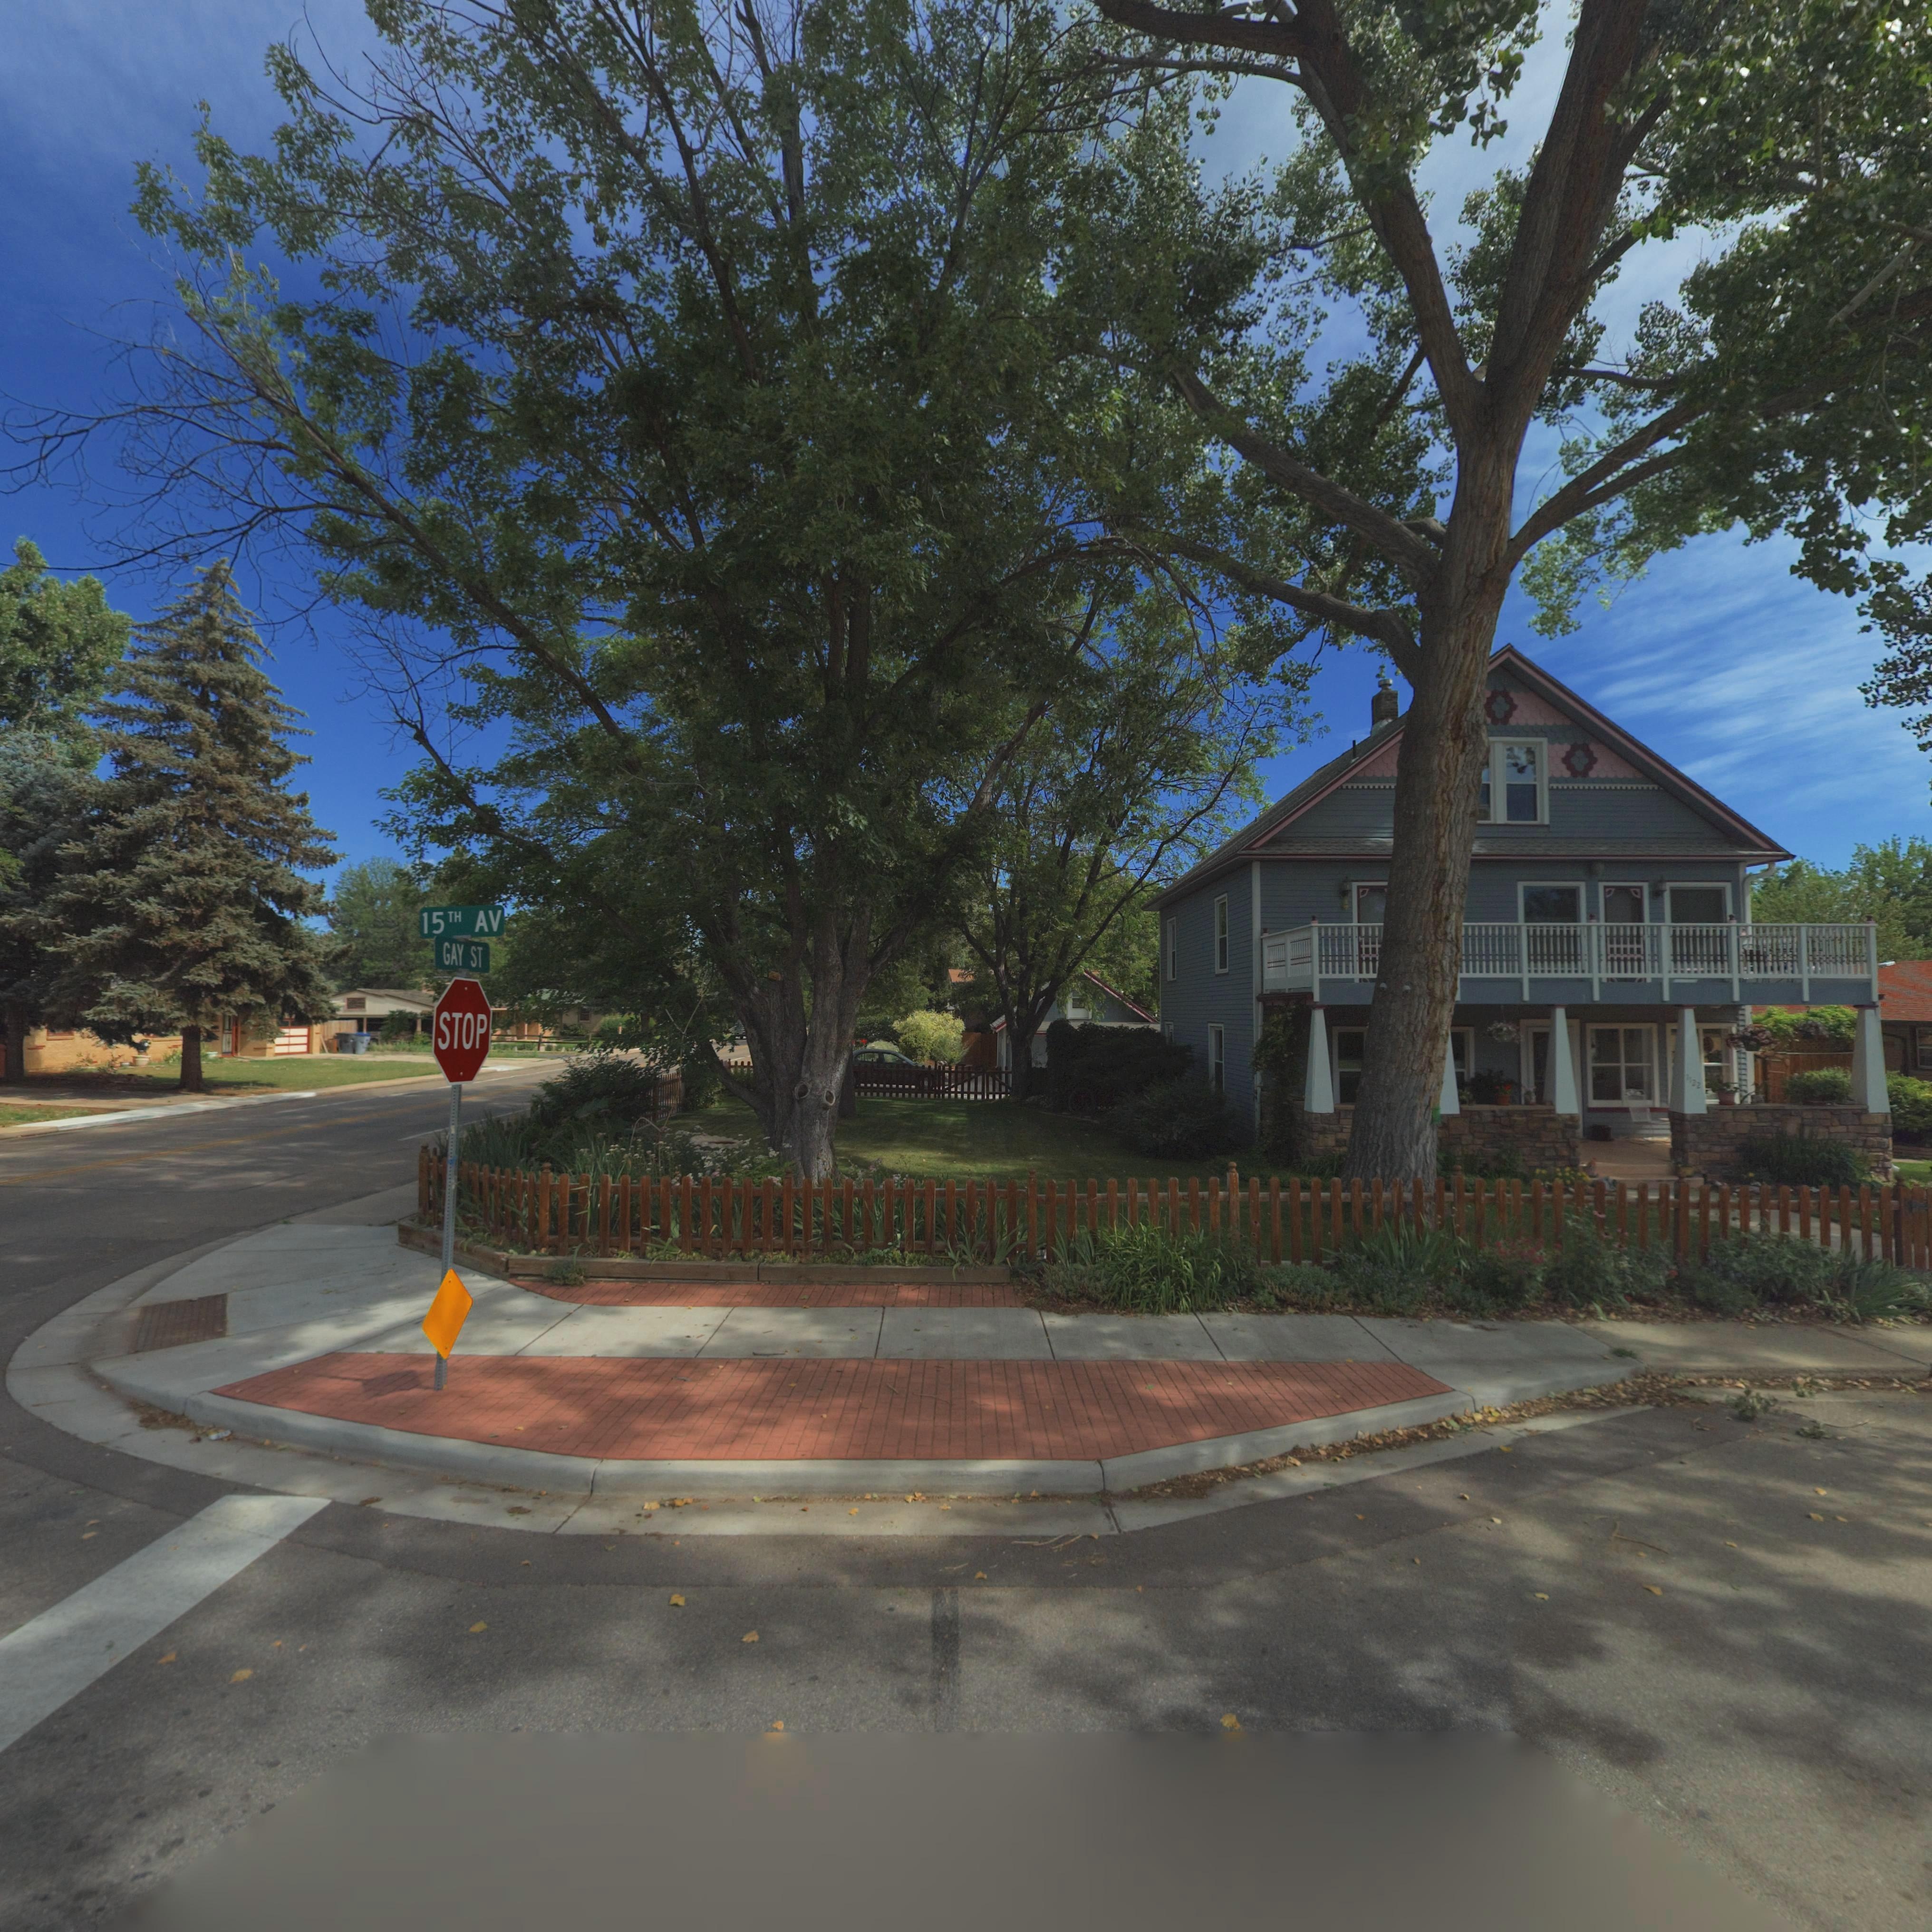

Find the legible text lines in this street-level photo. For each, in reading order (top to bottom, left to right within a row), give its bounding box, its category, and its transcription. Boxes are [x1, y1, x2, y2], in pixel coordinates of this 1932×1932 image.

[422, 909, 502, 934] StreetName: 15TH AV
[443, 941, 483, 968] StreetName: GAY ST
[1685, 1073, 1701, 1089] StreetNumber: 1122